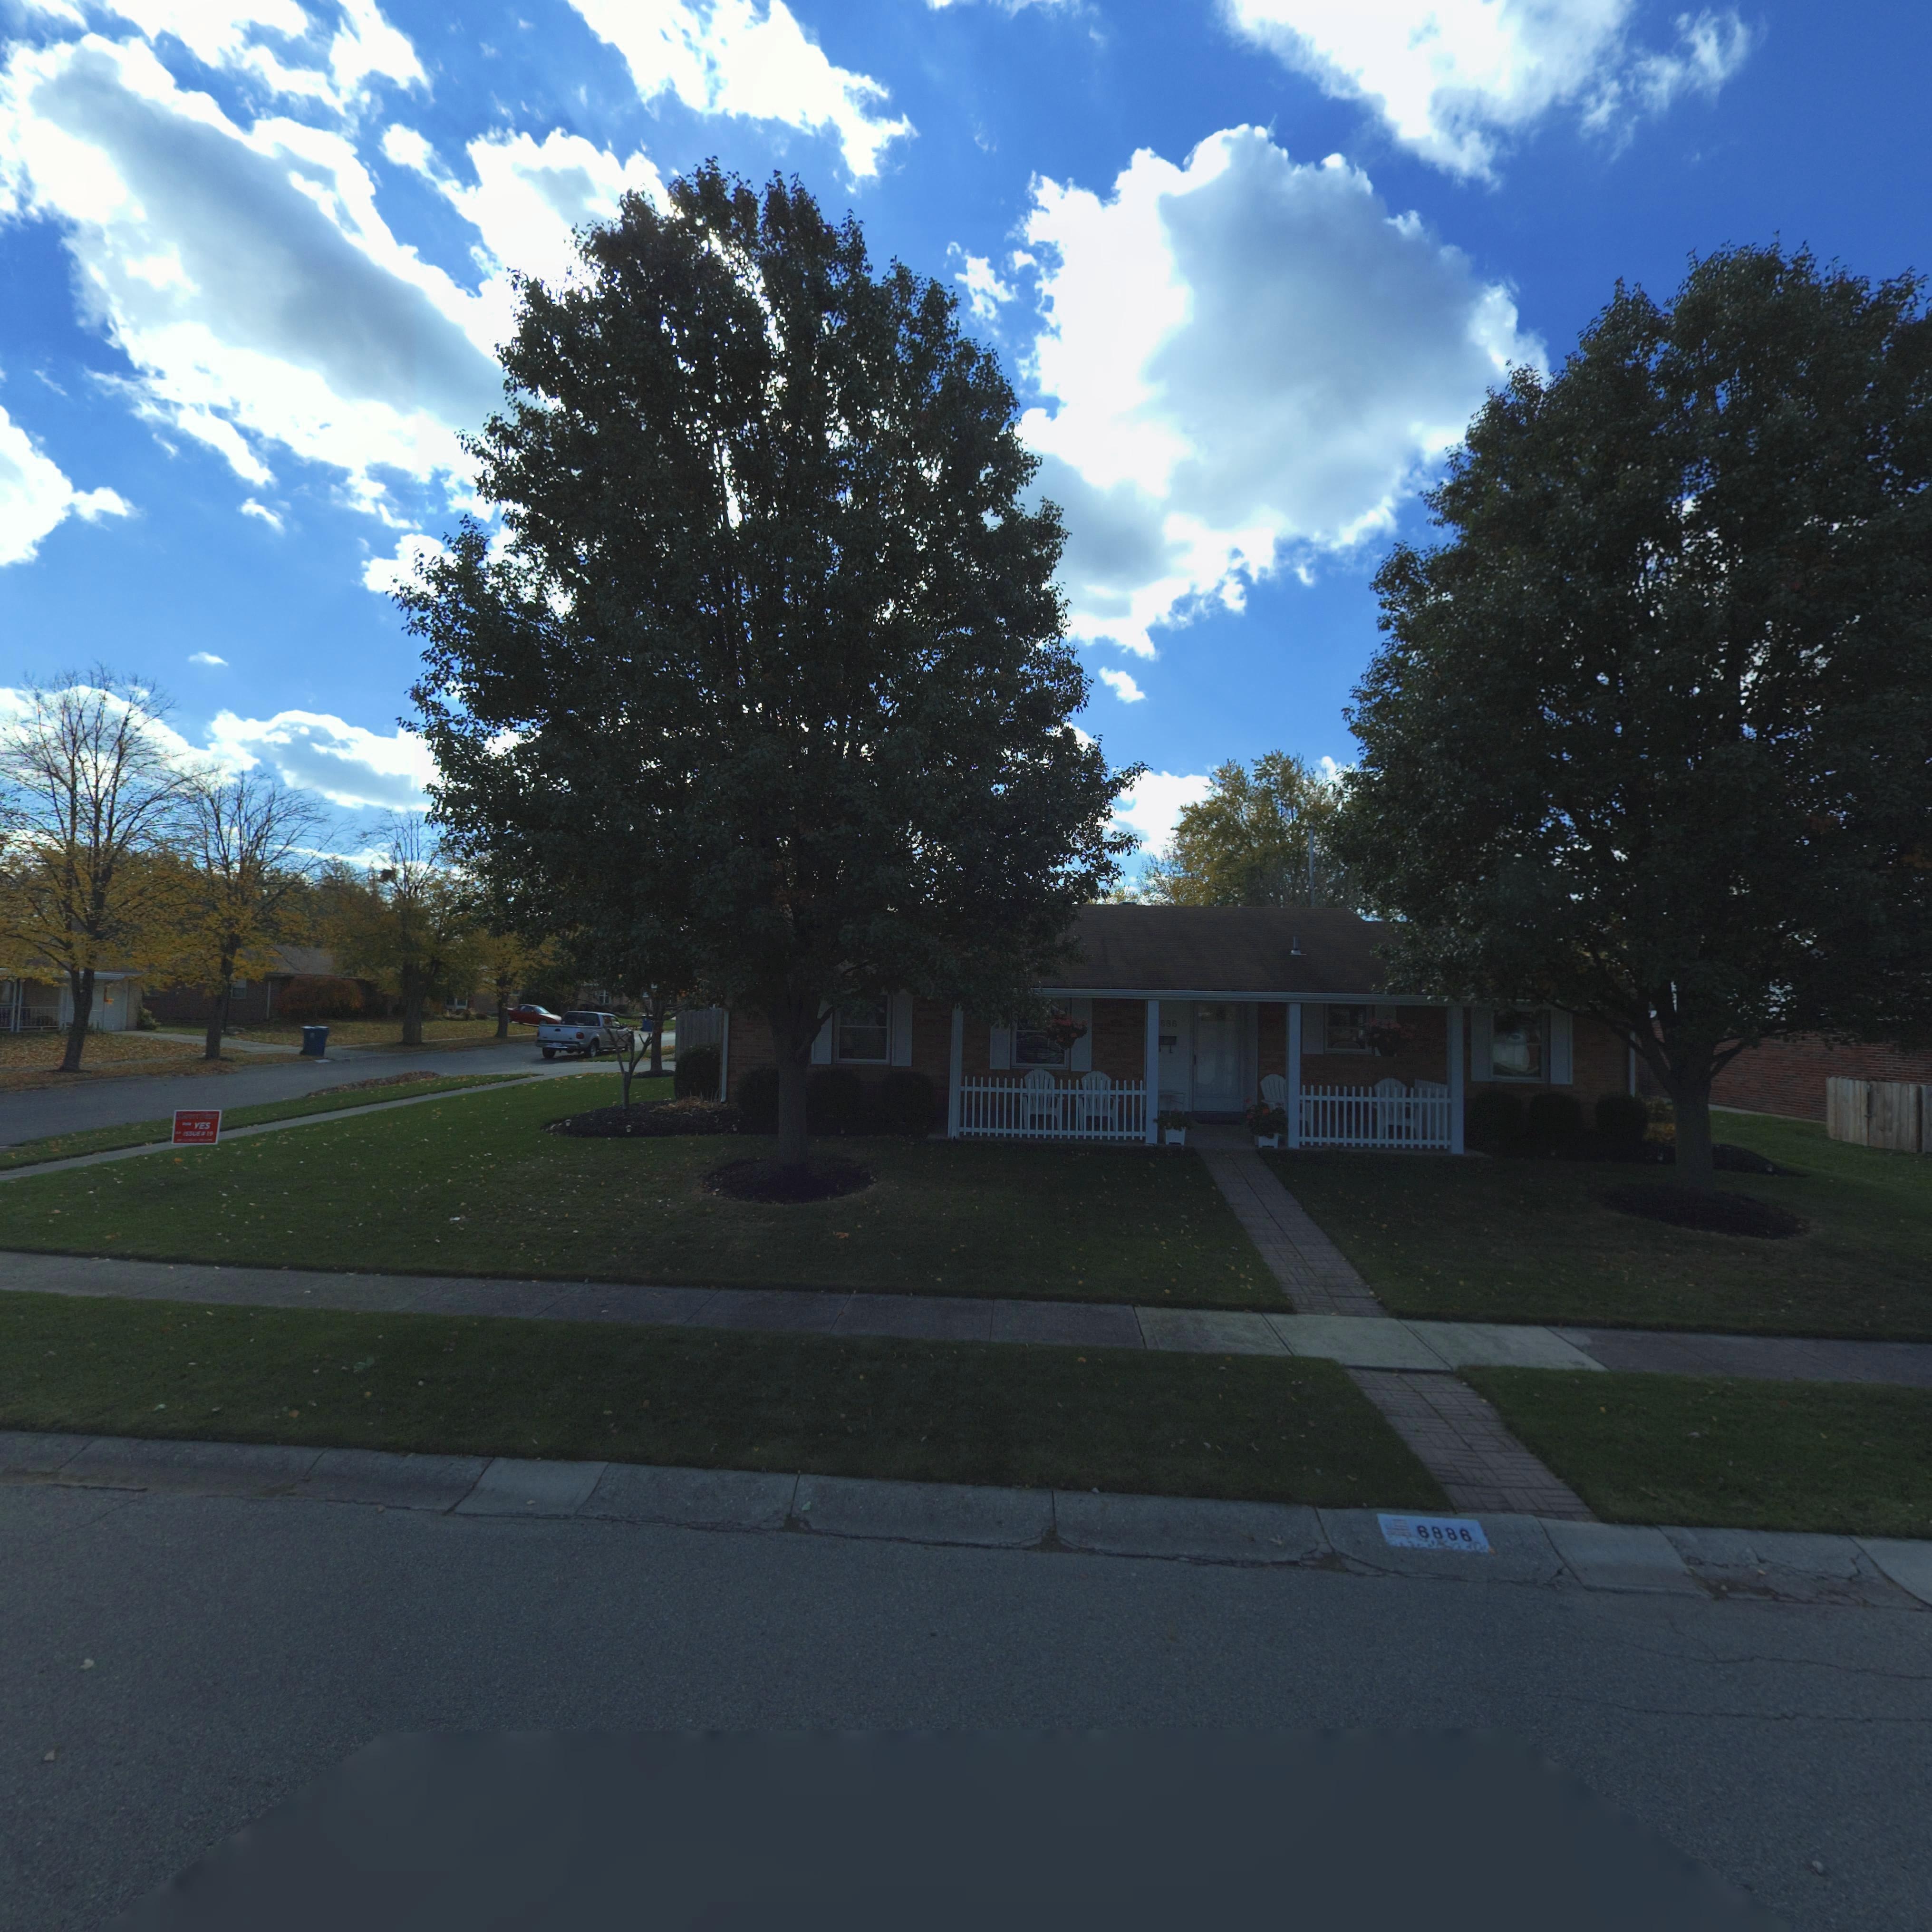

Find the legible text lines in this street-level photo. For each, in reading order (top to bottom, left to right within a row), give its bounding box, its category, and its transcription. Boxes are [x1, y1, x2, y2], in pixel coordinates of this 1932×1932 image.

[1159, 1019, 1178, 1028] StreetNumber: 886
[1415, 1524, 1473, 1542] StreetNumber: 6886